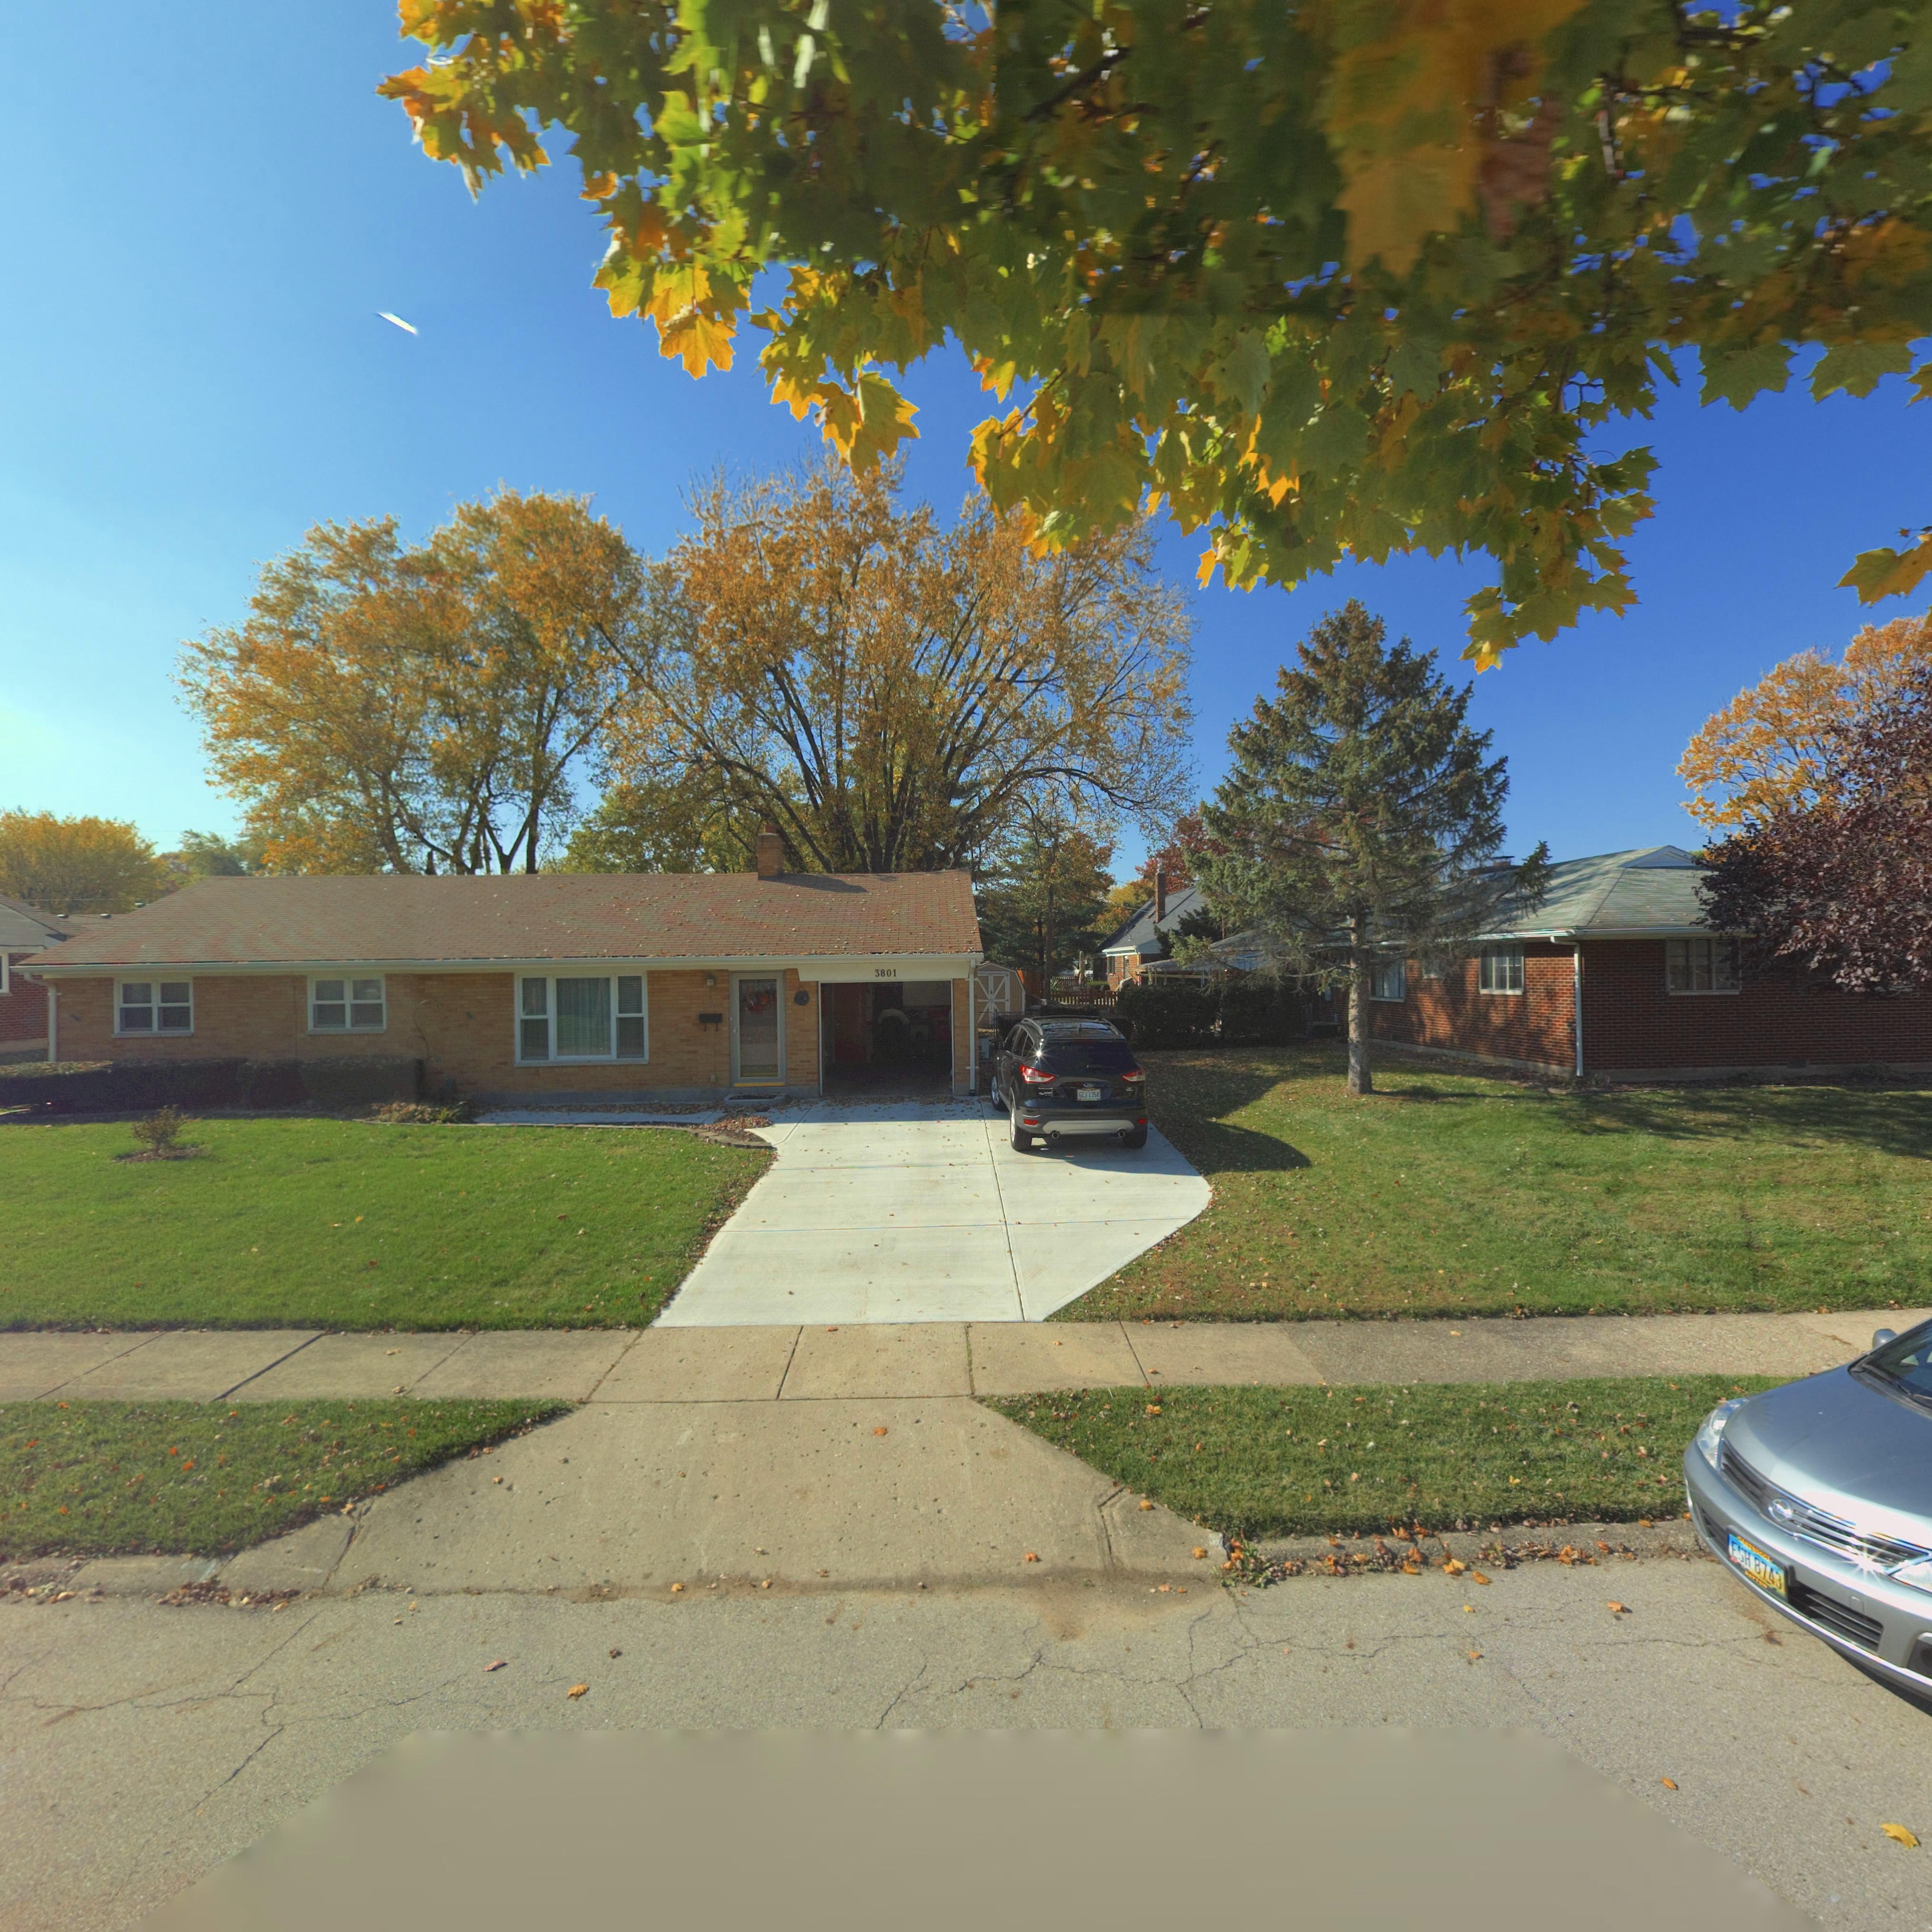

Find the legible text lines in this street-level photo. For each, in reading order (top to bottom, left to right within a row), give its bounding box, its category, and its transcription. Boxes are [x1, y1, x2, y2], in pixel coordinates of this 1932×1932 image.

[874, 968, 897, 978] StreetNumber: 3801
[1078, 1091, 1100, 1099] None: GCJ 1354
[1731, 1538, 1784, 1592] None: ESH 8743